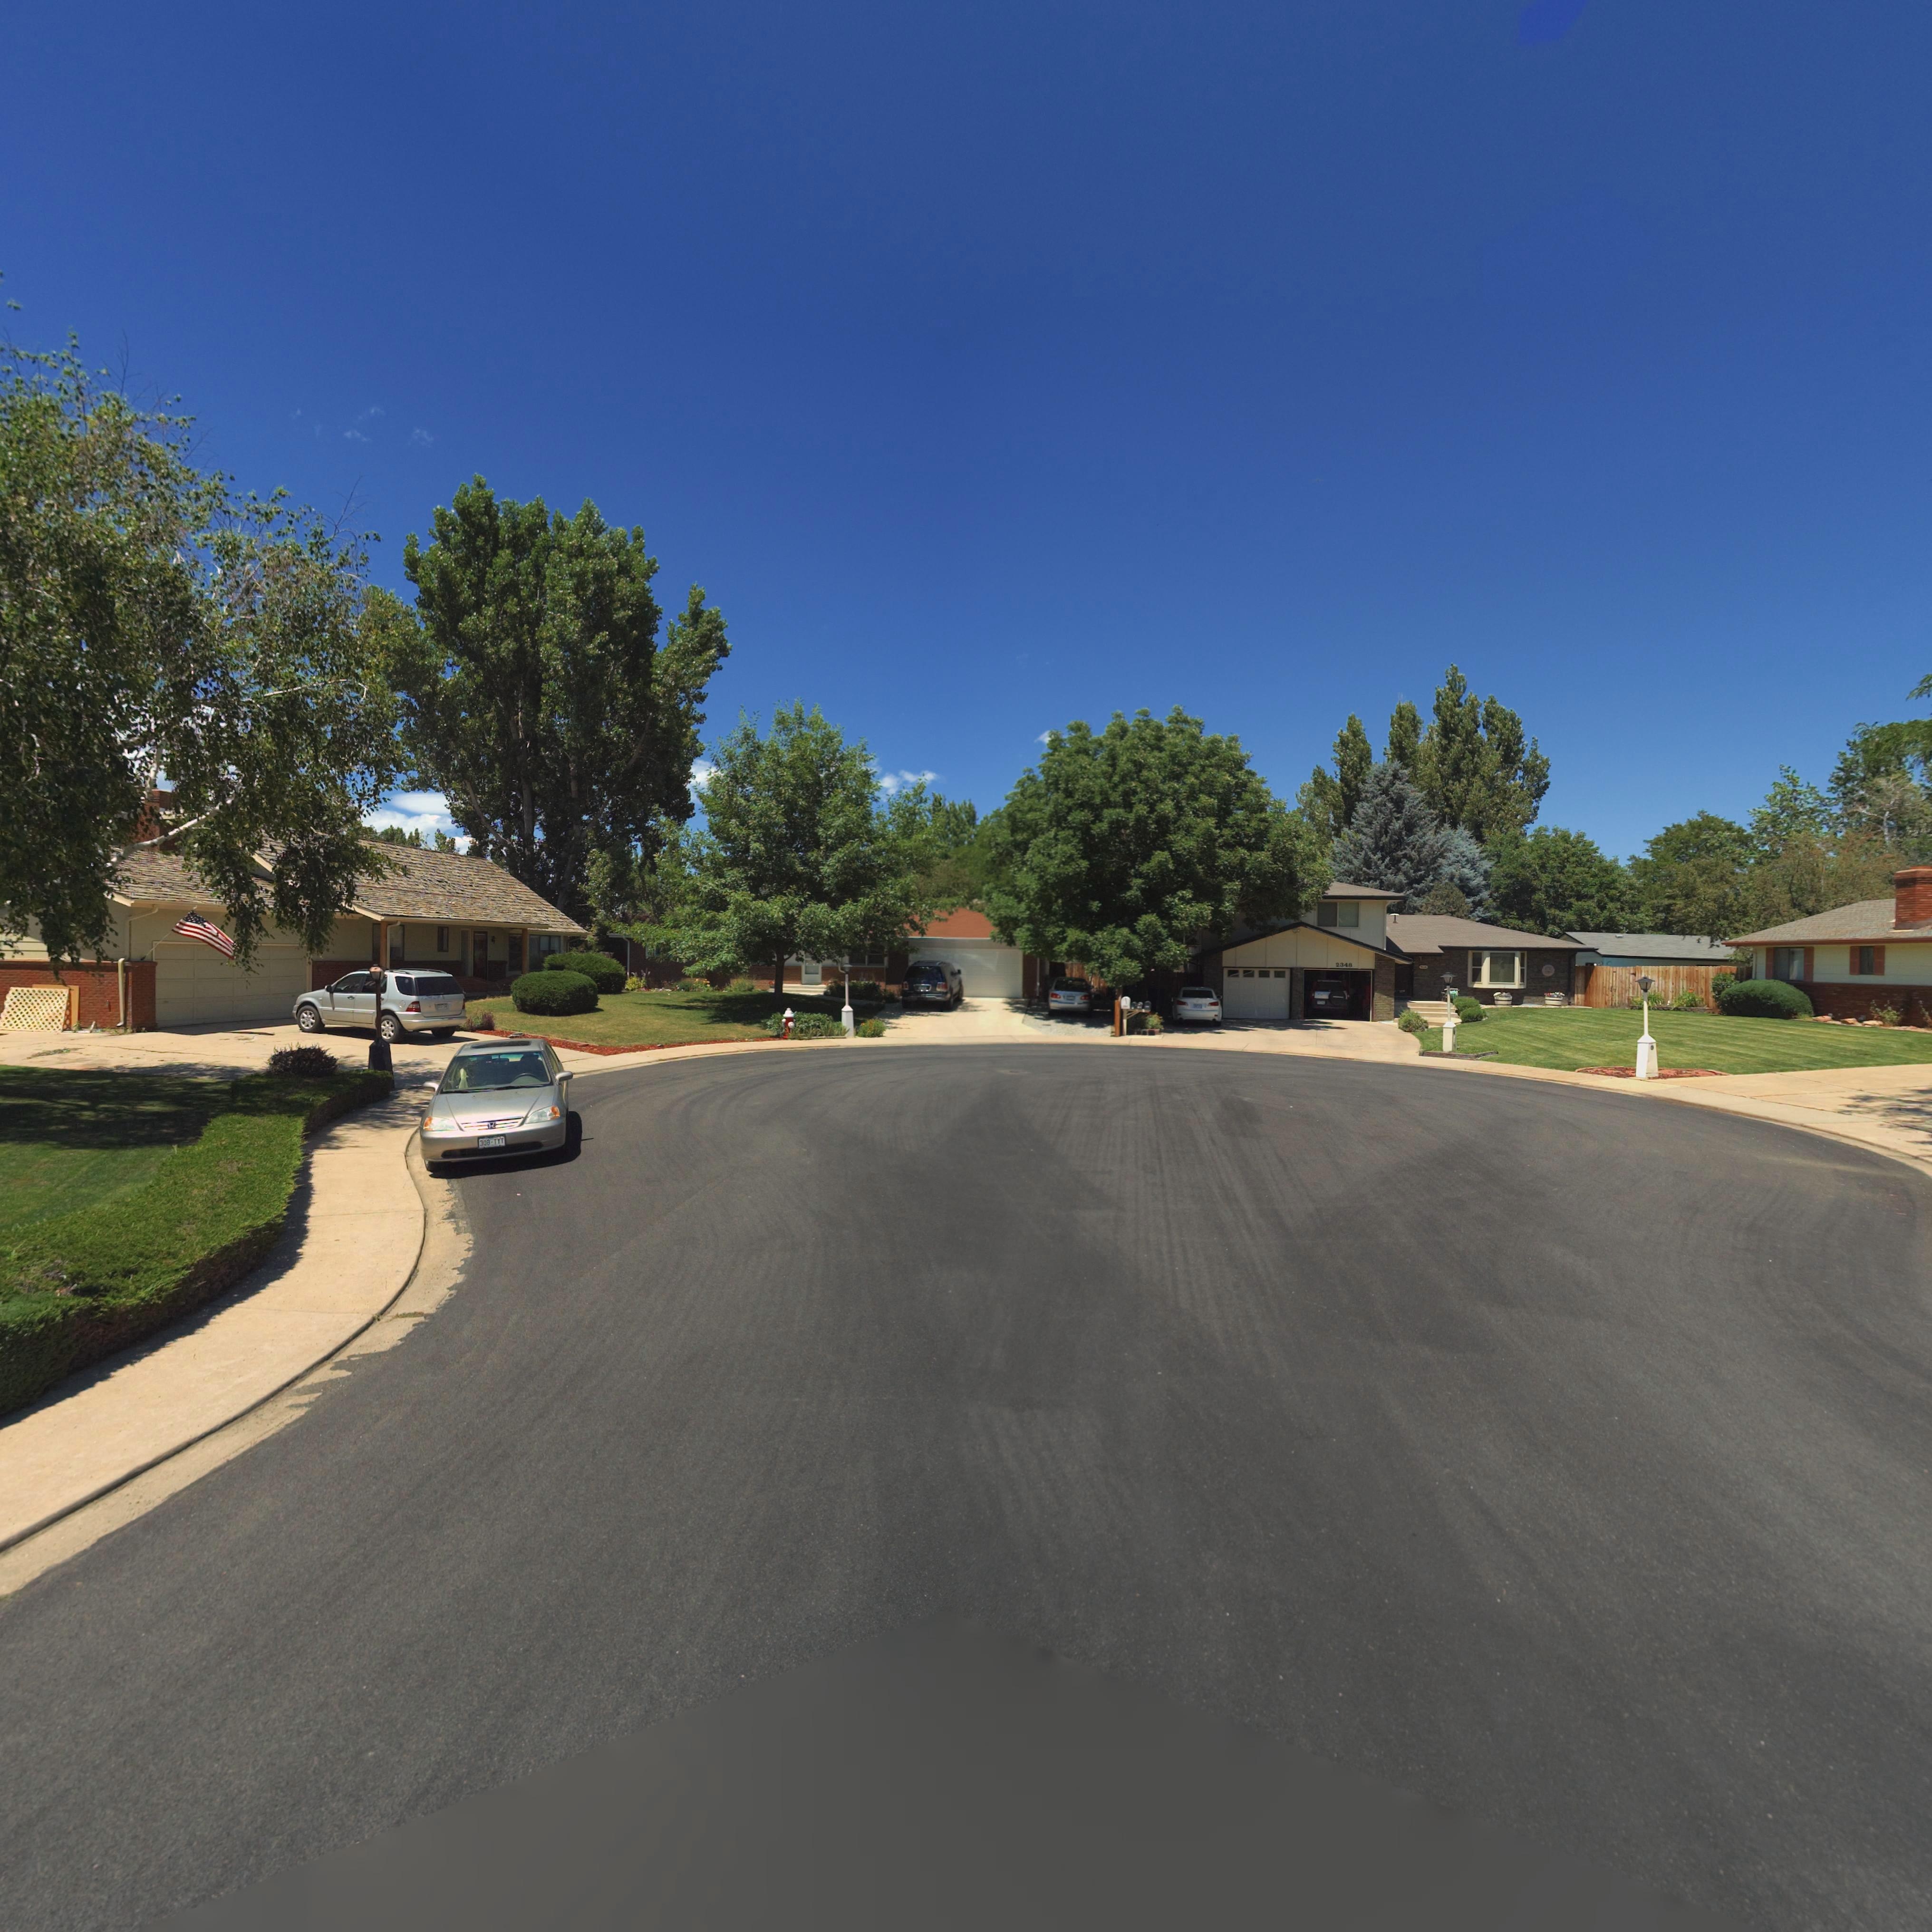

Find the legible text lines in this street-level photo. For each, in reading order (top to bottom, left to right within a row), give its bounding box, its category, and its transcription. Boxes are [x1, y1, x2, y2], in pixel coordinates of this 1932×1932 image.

[1335, 962, 1352, 967] StreetNumber: 2348